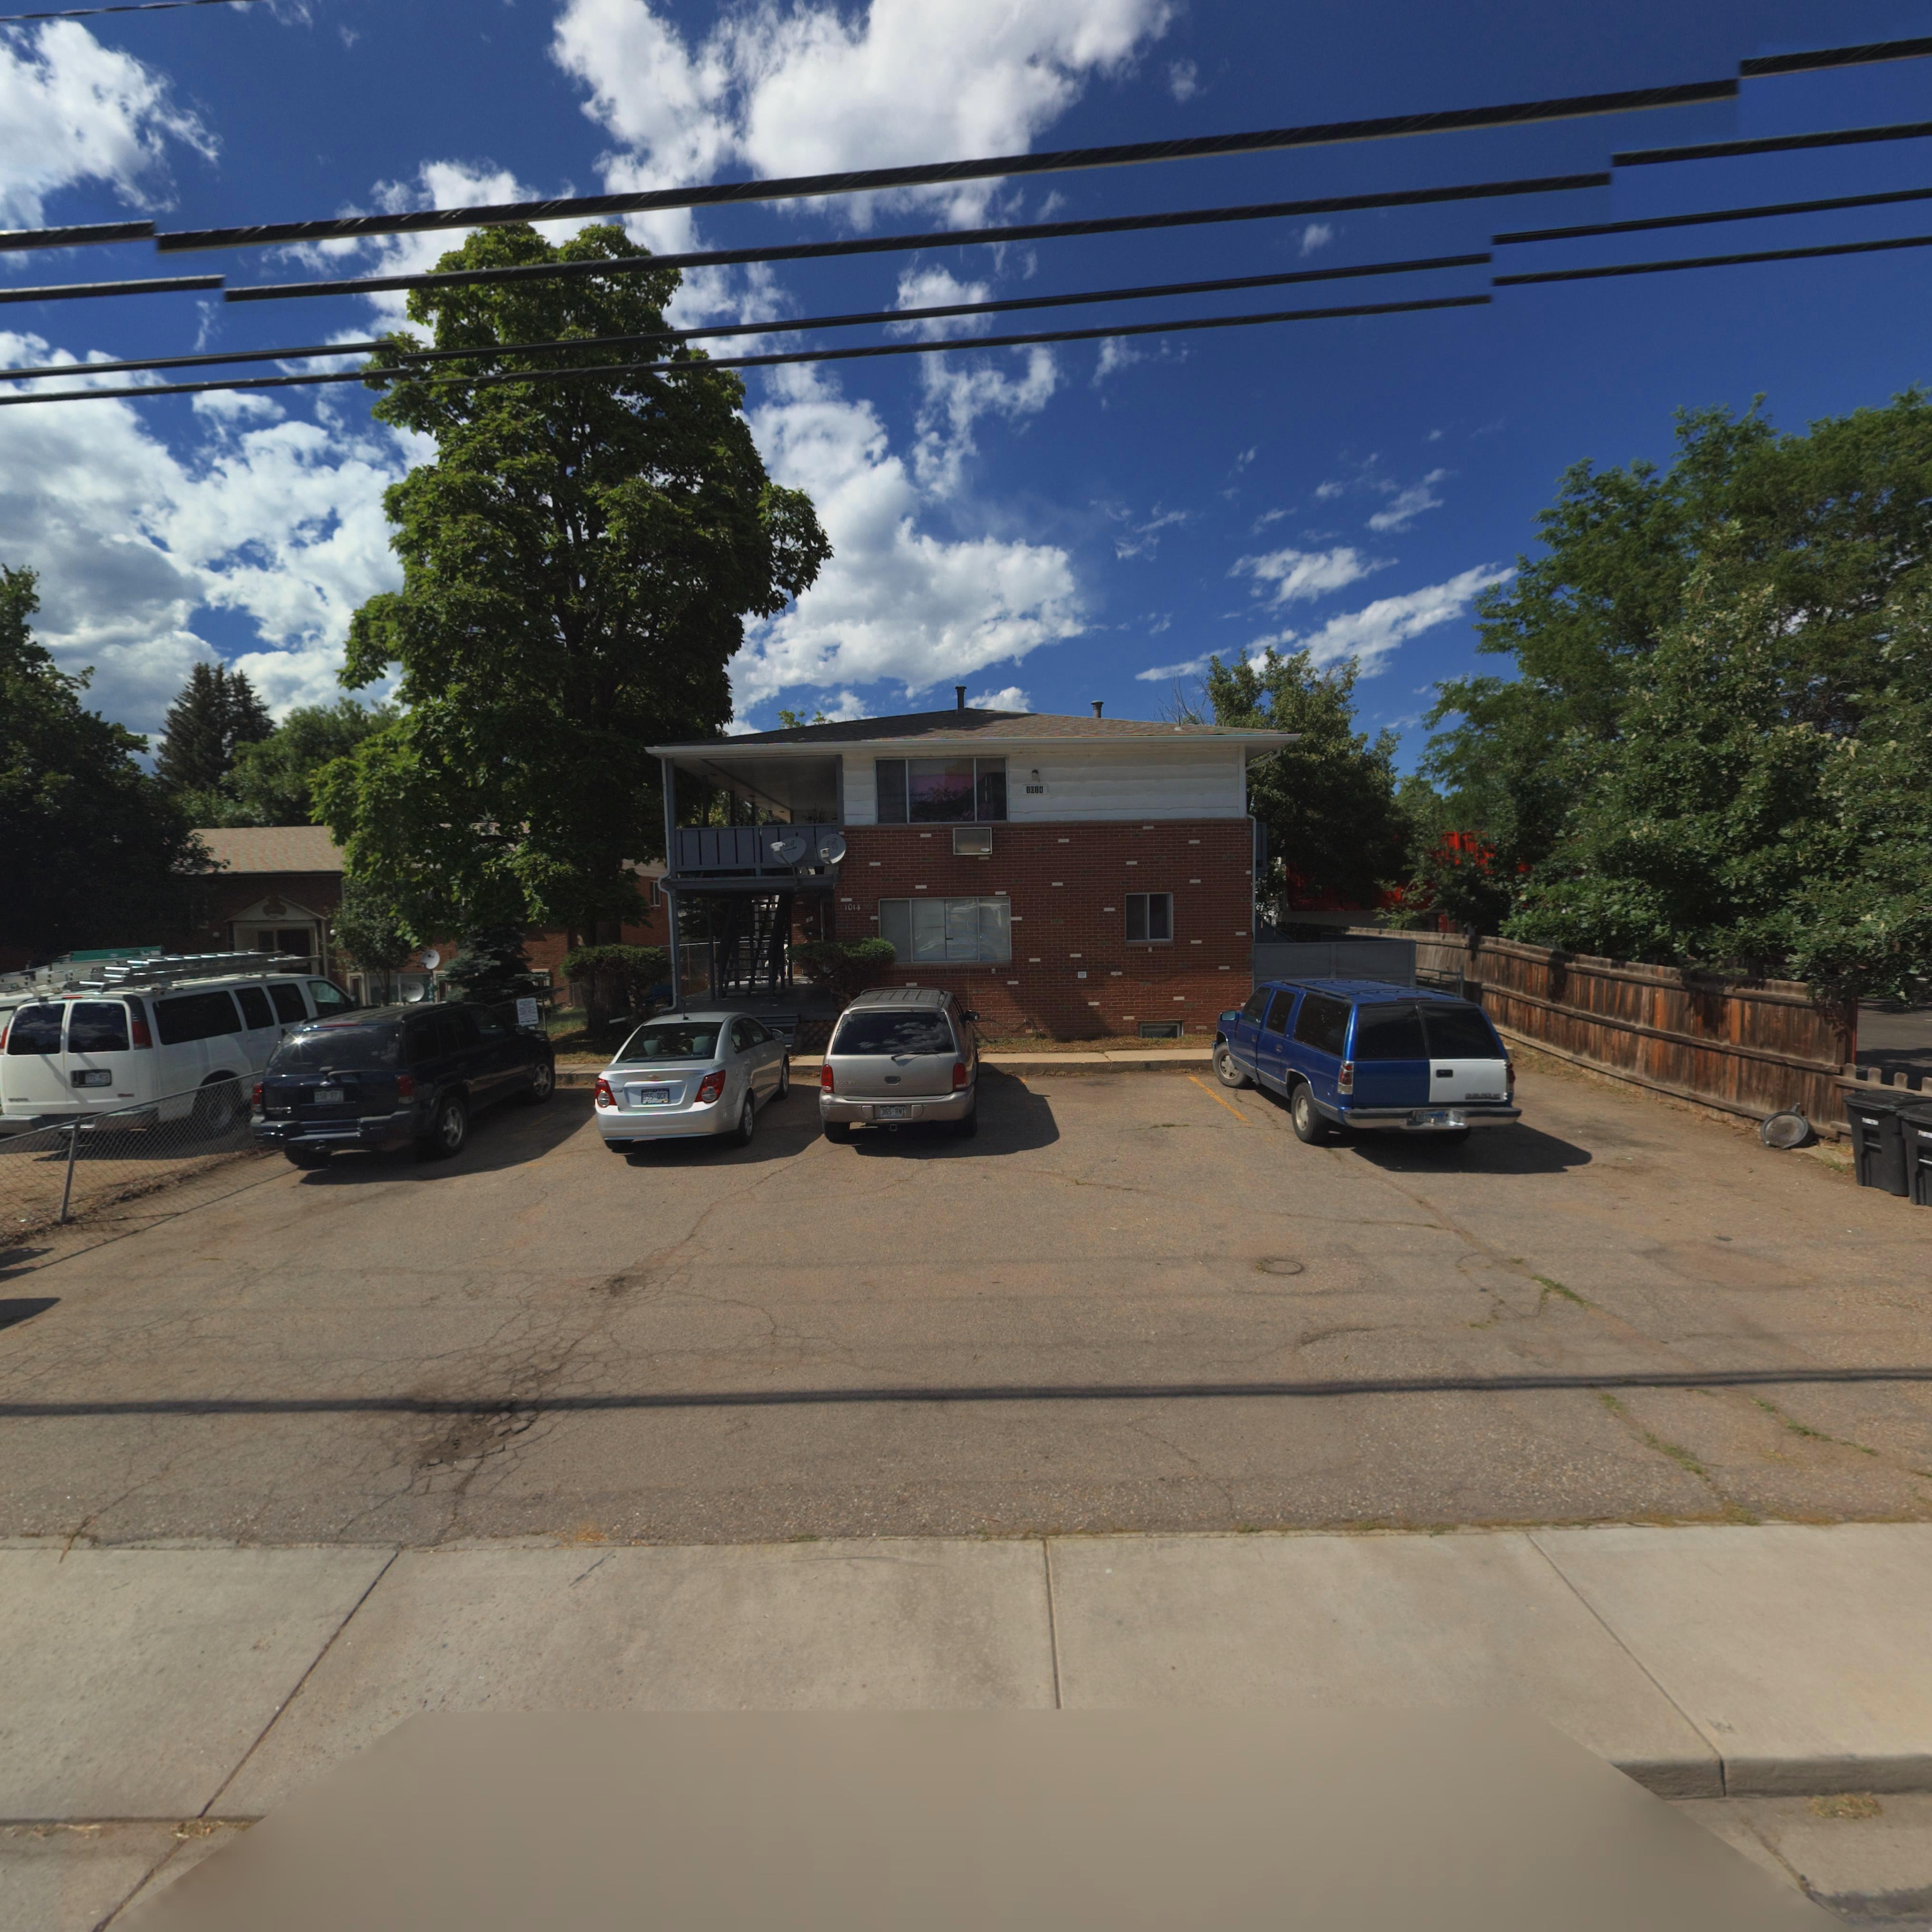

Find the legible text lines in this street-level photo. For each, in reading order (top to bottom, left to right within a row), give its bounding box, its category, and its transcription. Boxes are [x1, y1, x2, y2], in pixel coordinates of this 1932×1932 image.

[1026, 787, 1043, 793] StreetNumber: 1014
[844, 903, 861, 911] StreetNumber: 1014